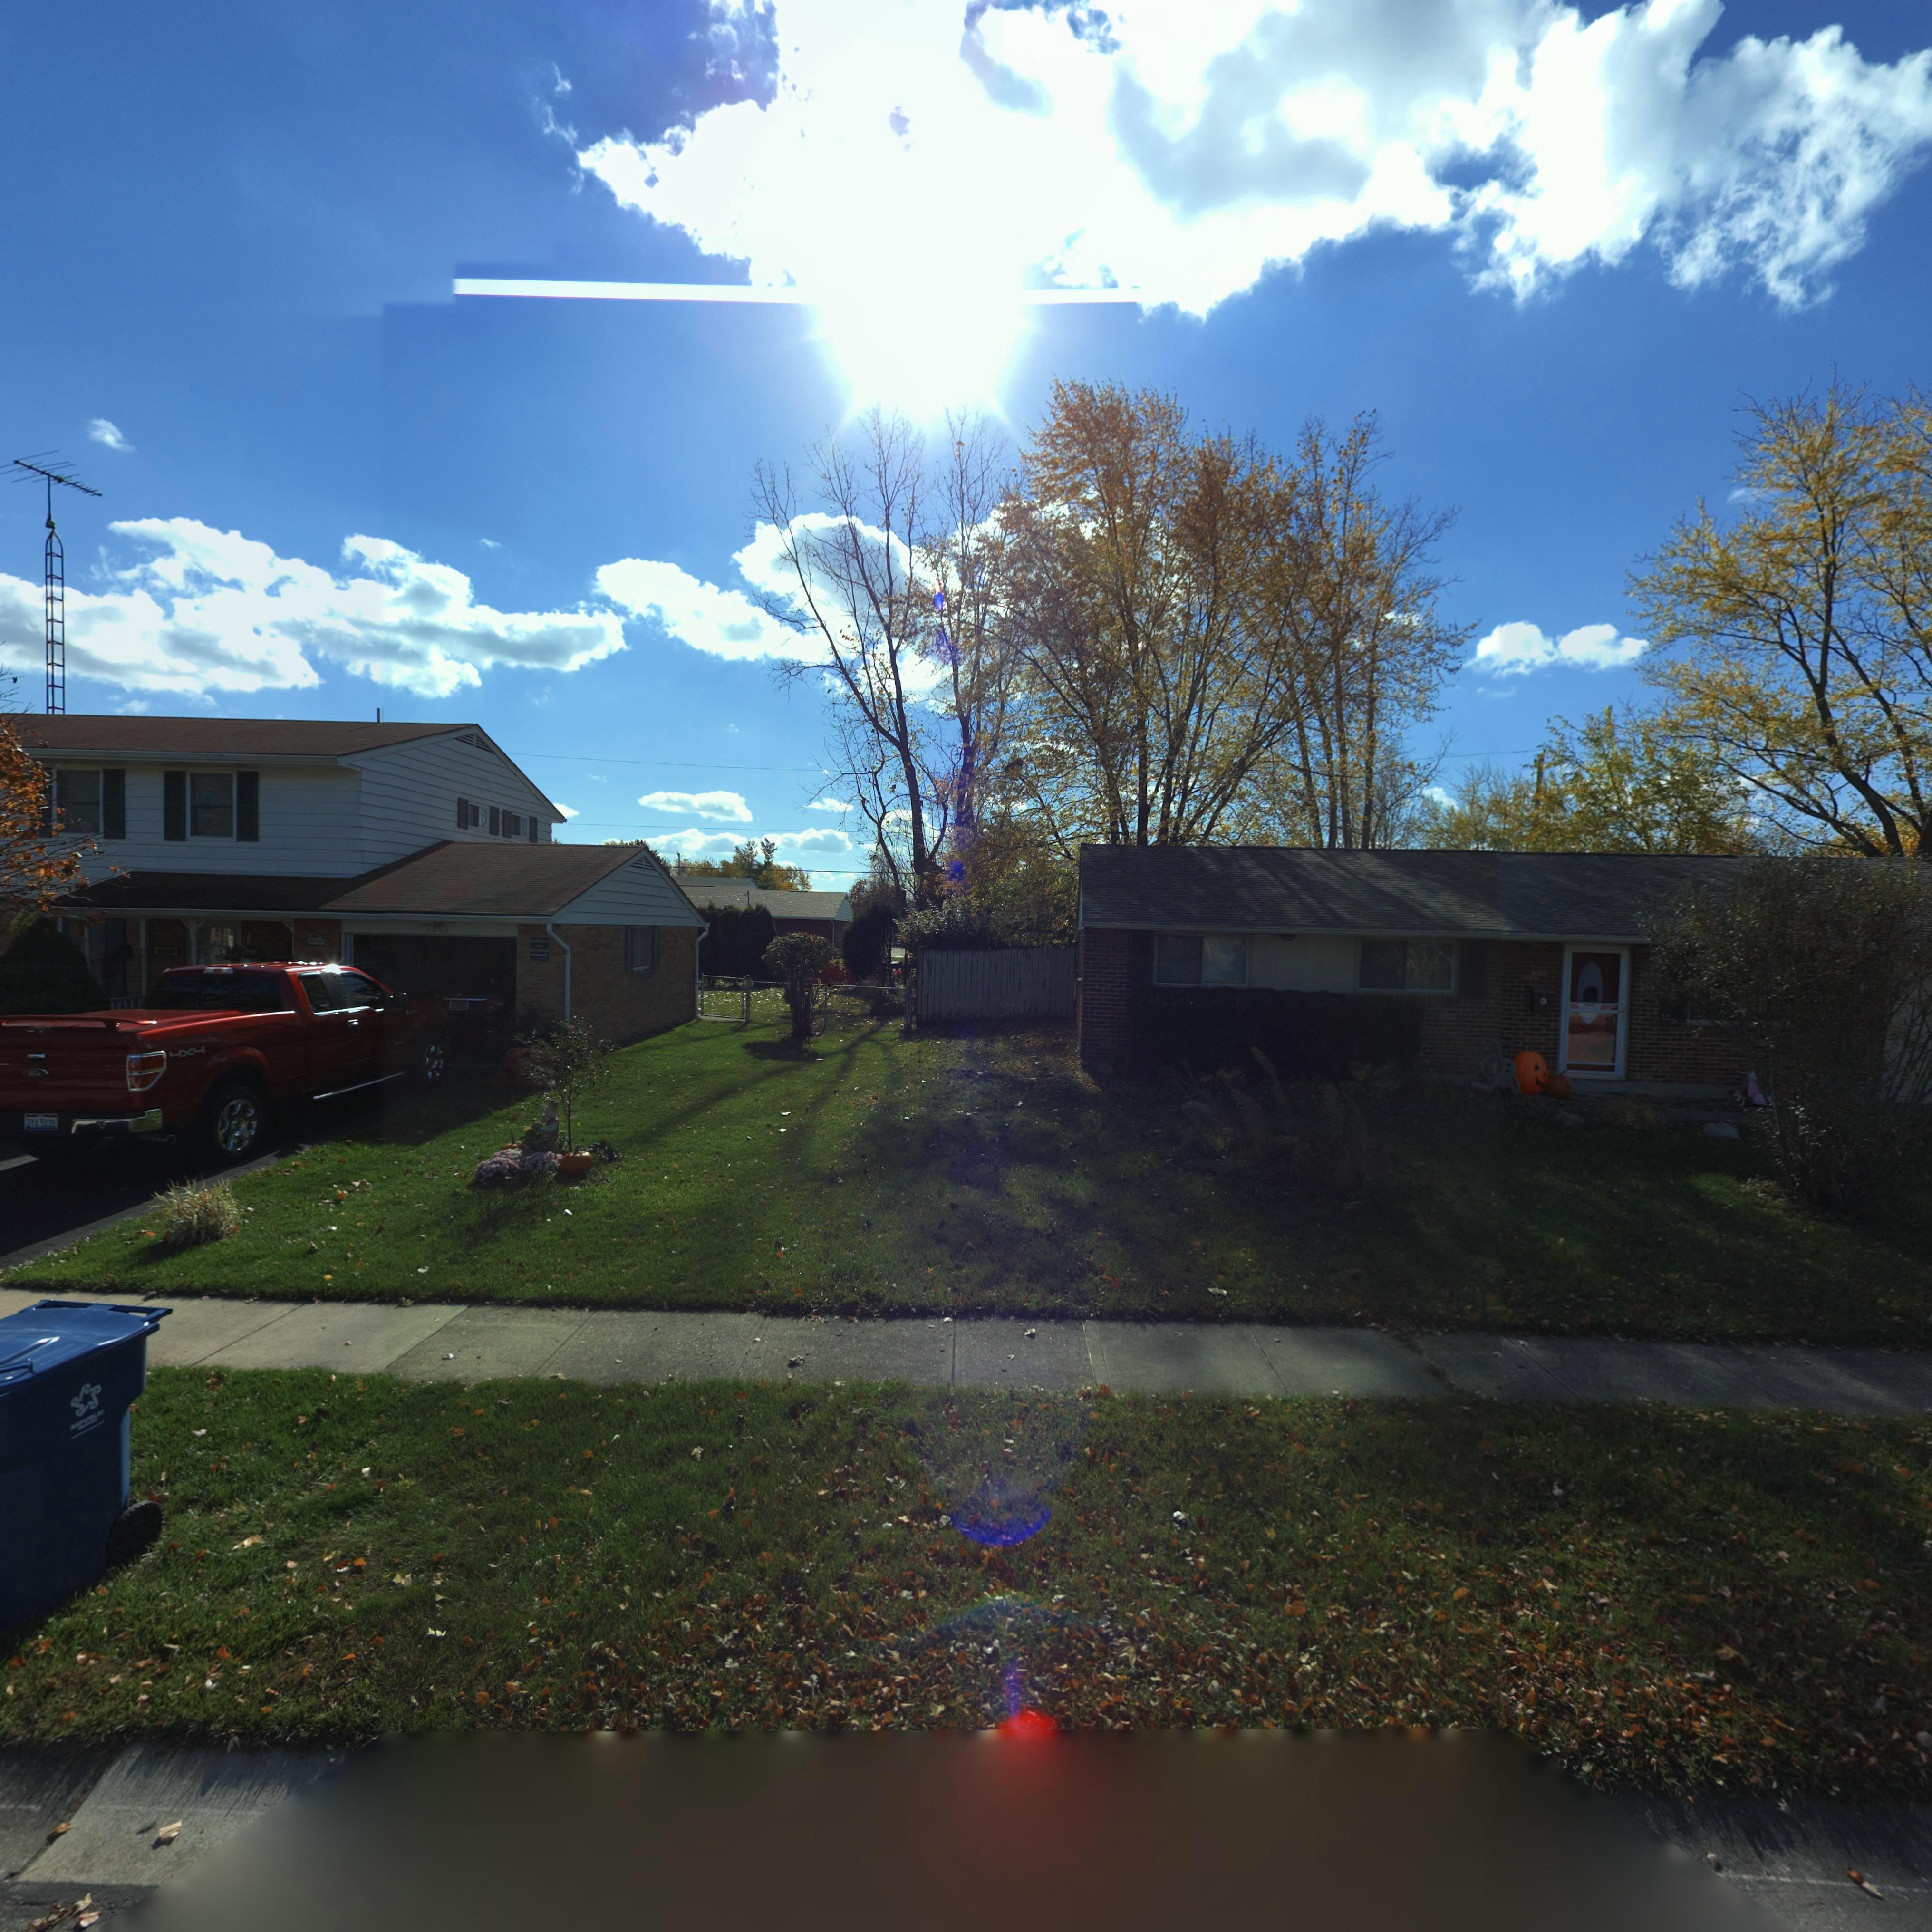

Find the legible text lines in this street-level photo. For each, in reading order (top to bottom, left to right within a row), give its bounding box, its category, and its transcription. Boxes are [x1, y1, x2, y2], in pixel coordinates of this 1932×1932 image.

[444, 925, 451, 934] StreetNumber: 2